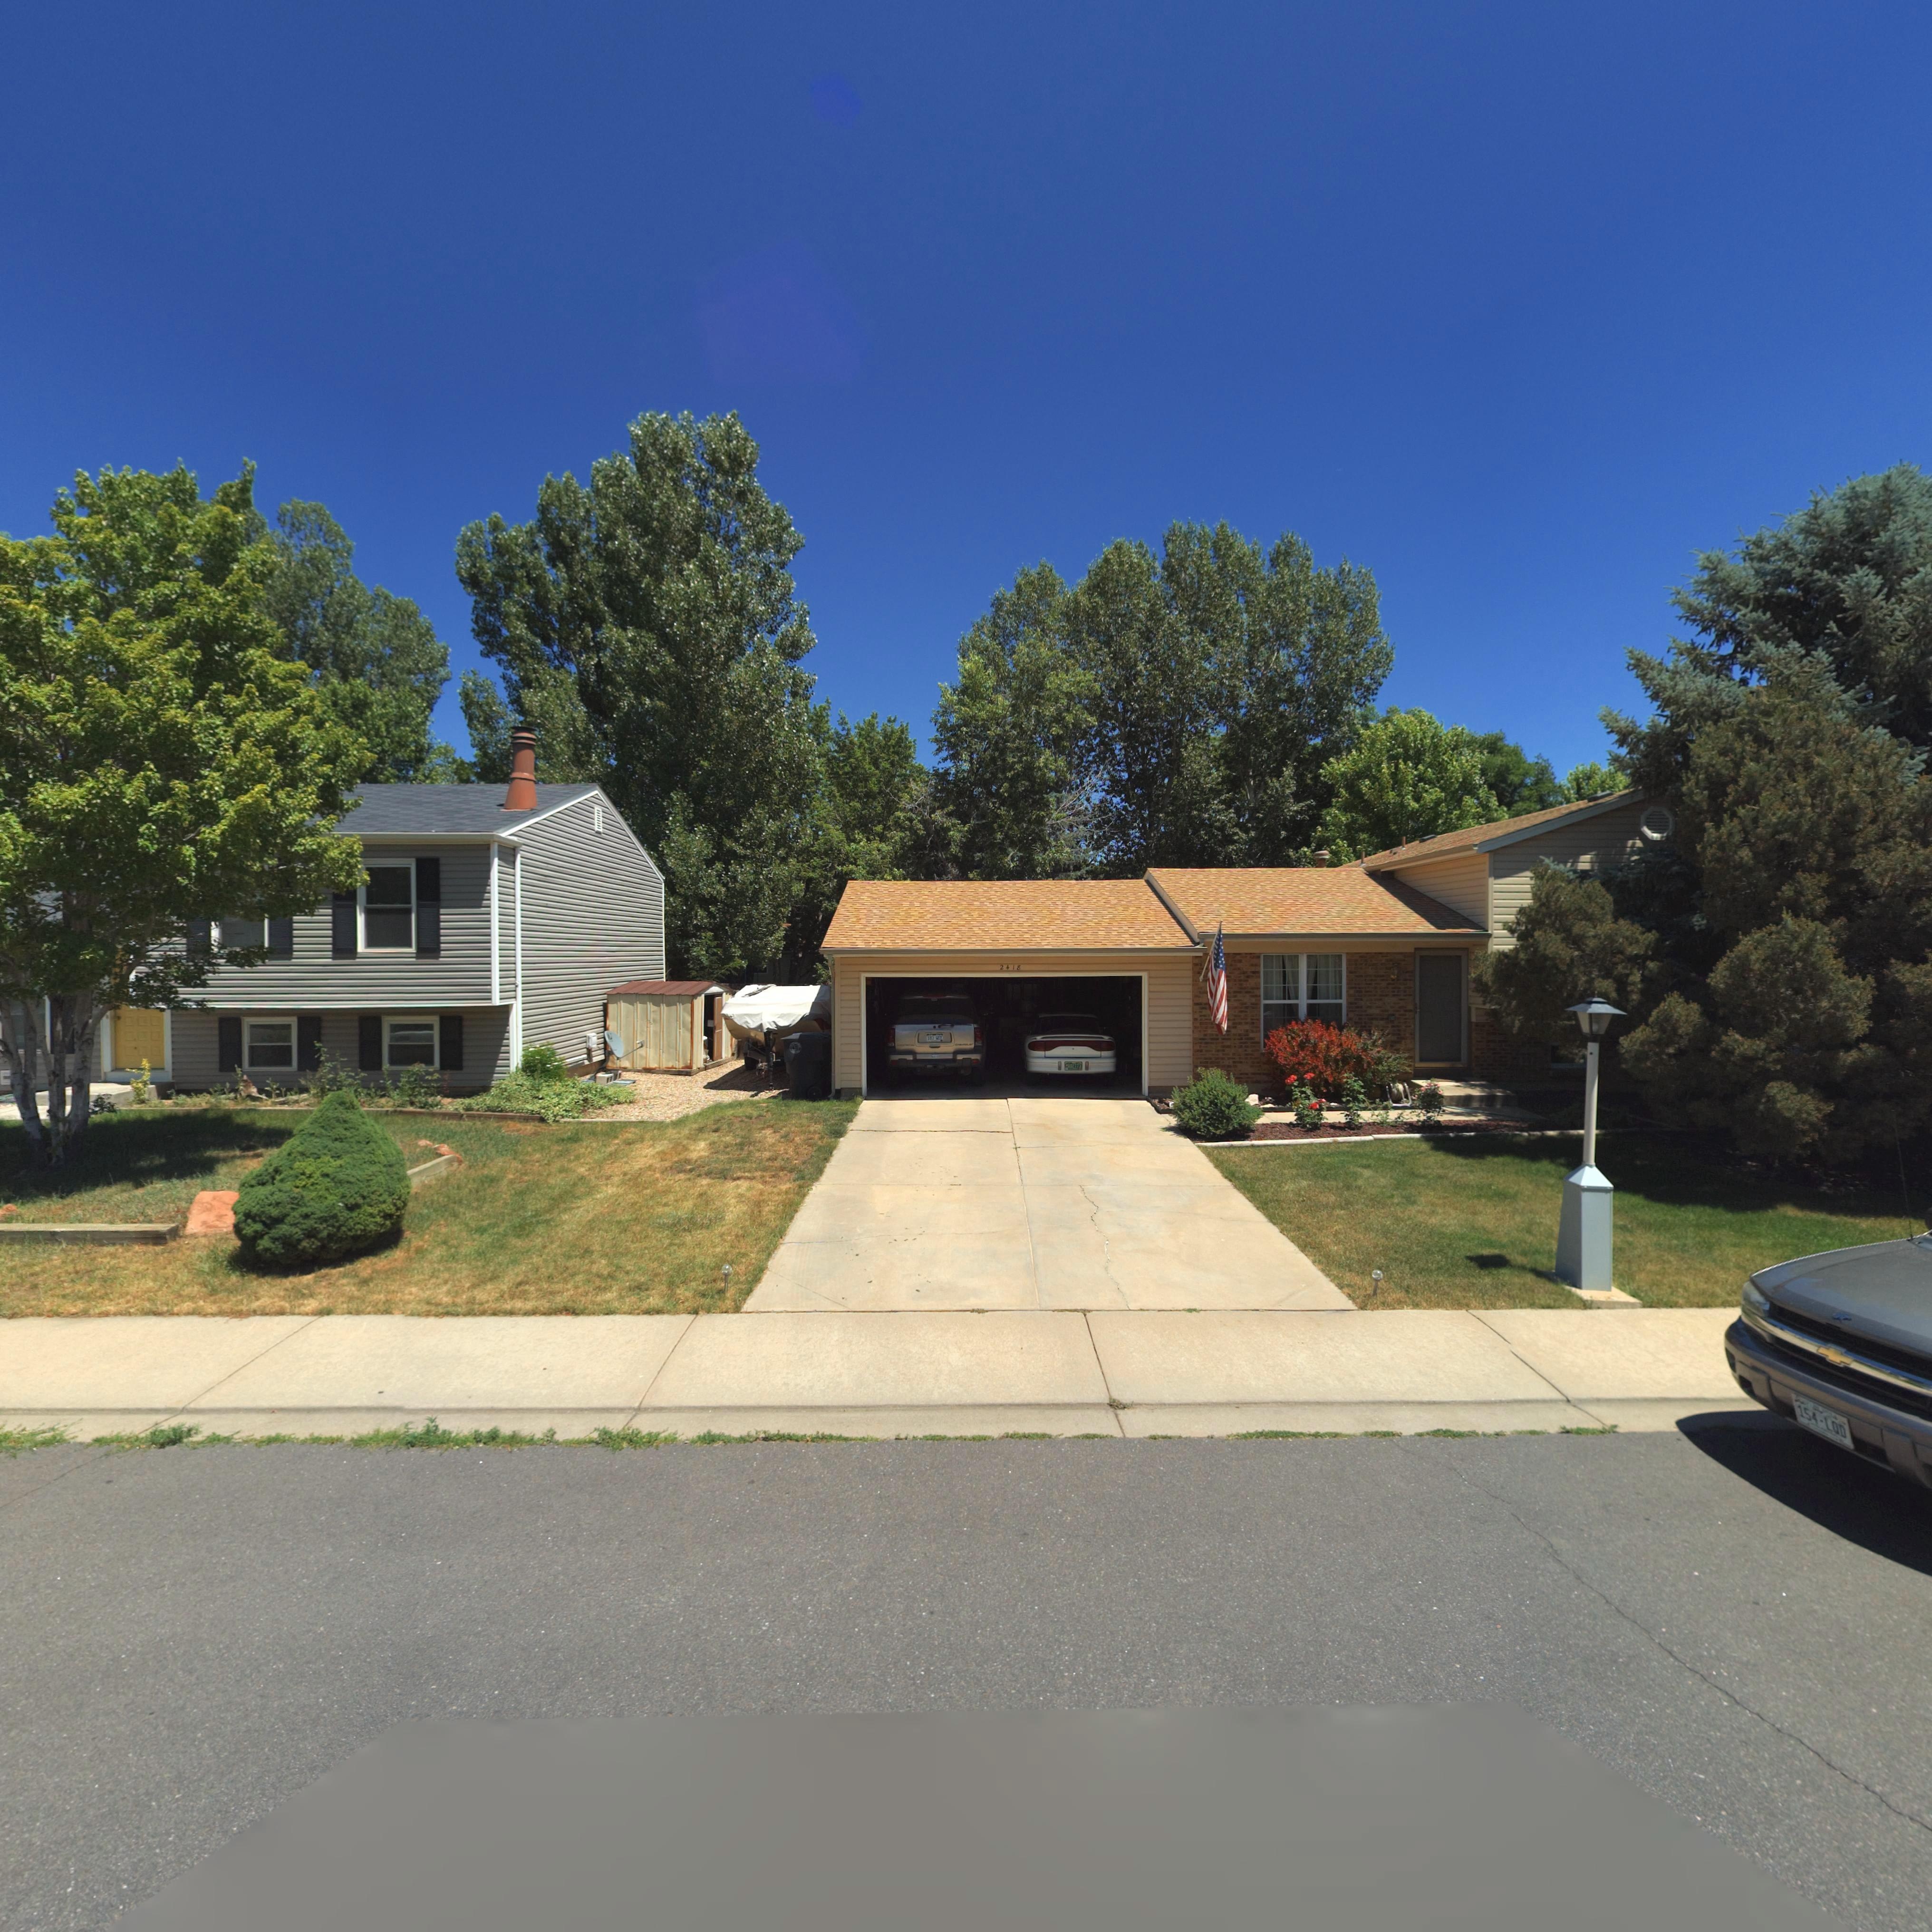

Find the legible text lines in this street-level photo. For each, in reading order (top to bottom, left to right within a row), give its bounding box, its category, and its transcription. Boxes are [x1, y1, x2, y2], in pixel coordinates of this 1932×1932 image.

[1000, 964, 1020, 970] StreetNumber: 2418